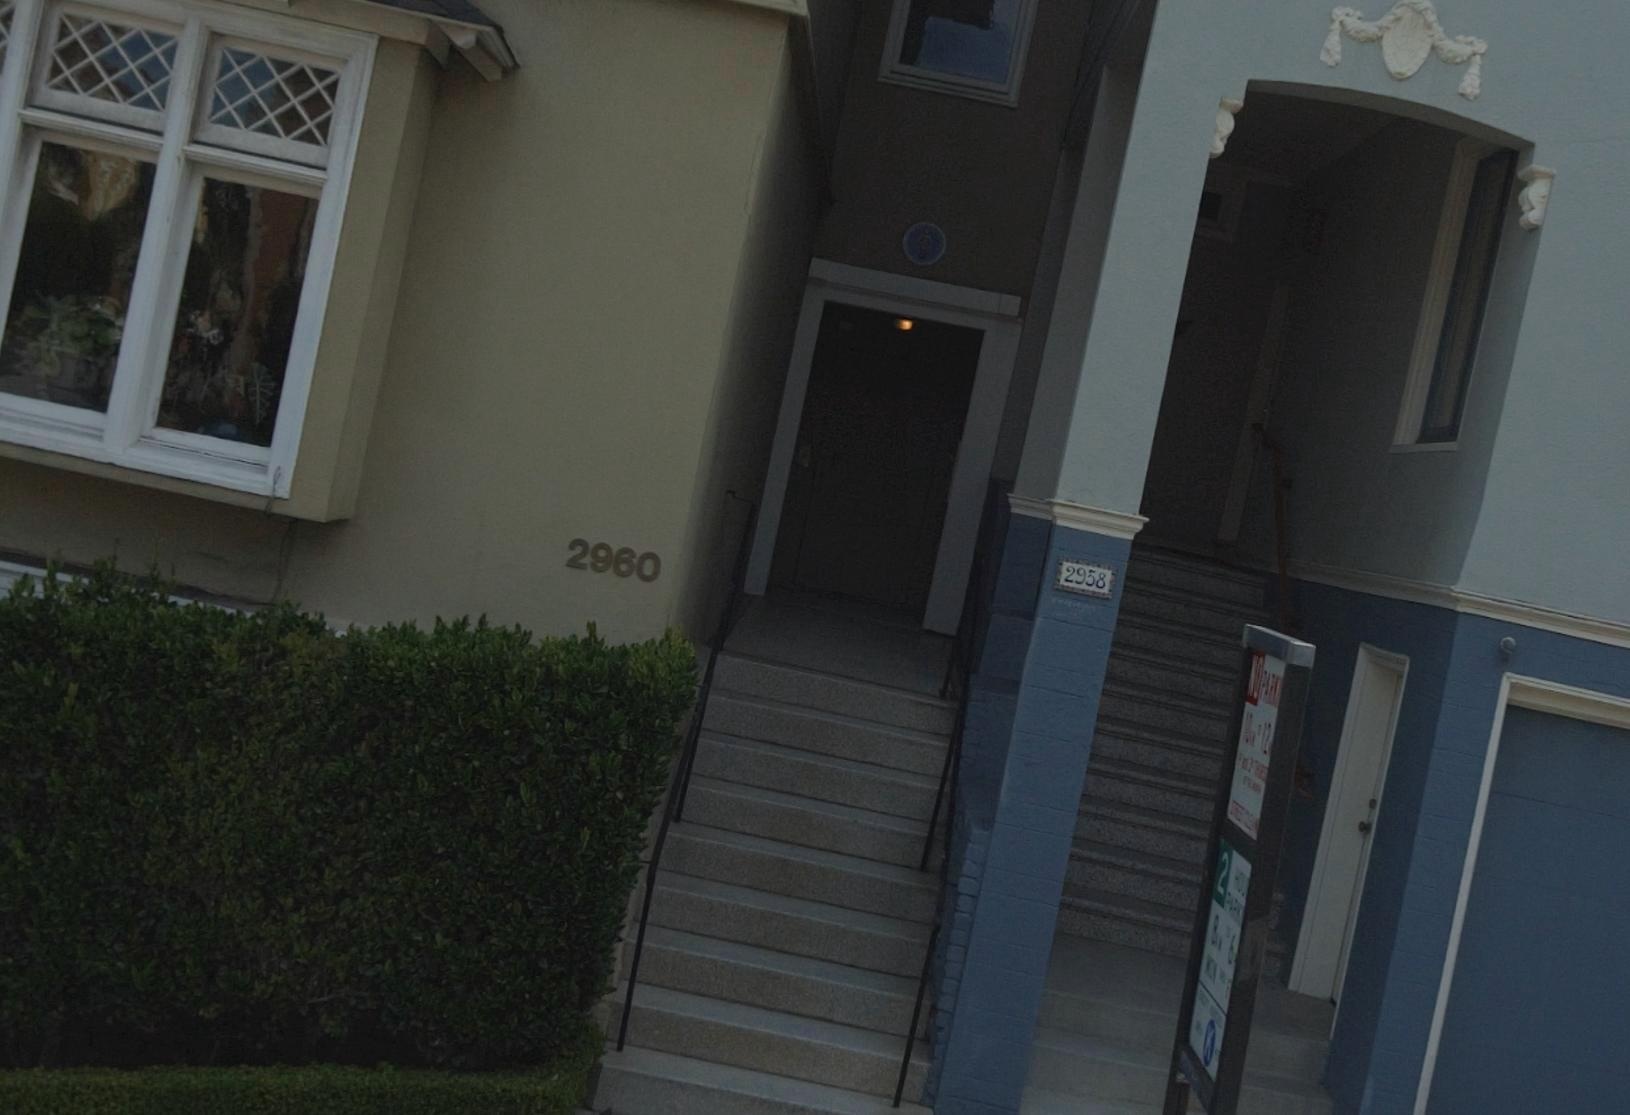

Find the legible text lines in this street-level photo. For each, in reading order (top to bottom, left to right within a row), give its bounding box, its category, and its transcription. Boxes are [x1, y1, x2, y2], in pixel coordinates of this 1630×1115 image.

[561, 534, 665, 585] StreetNumber: 2960
[1061, 563, 1109, 592] StreetNumber: 2958
[1258, 717, 1274, 758] None: 12
[1213, 849, 1233, 900] None: 2
[1230, 862, 1245, 894] None: H
[1207, 910, 1223, 951] None: 8
[1225, 930, 1238, 968] None: 6
[1200, 1021, 1217, 1063] None: K